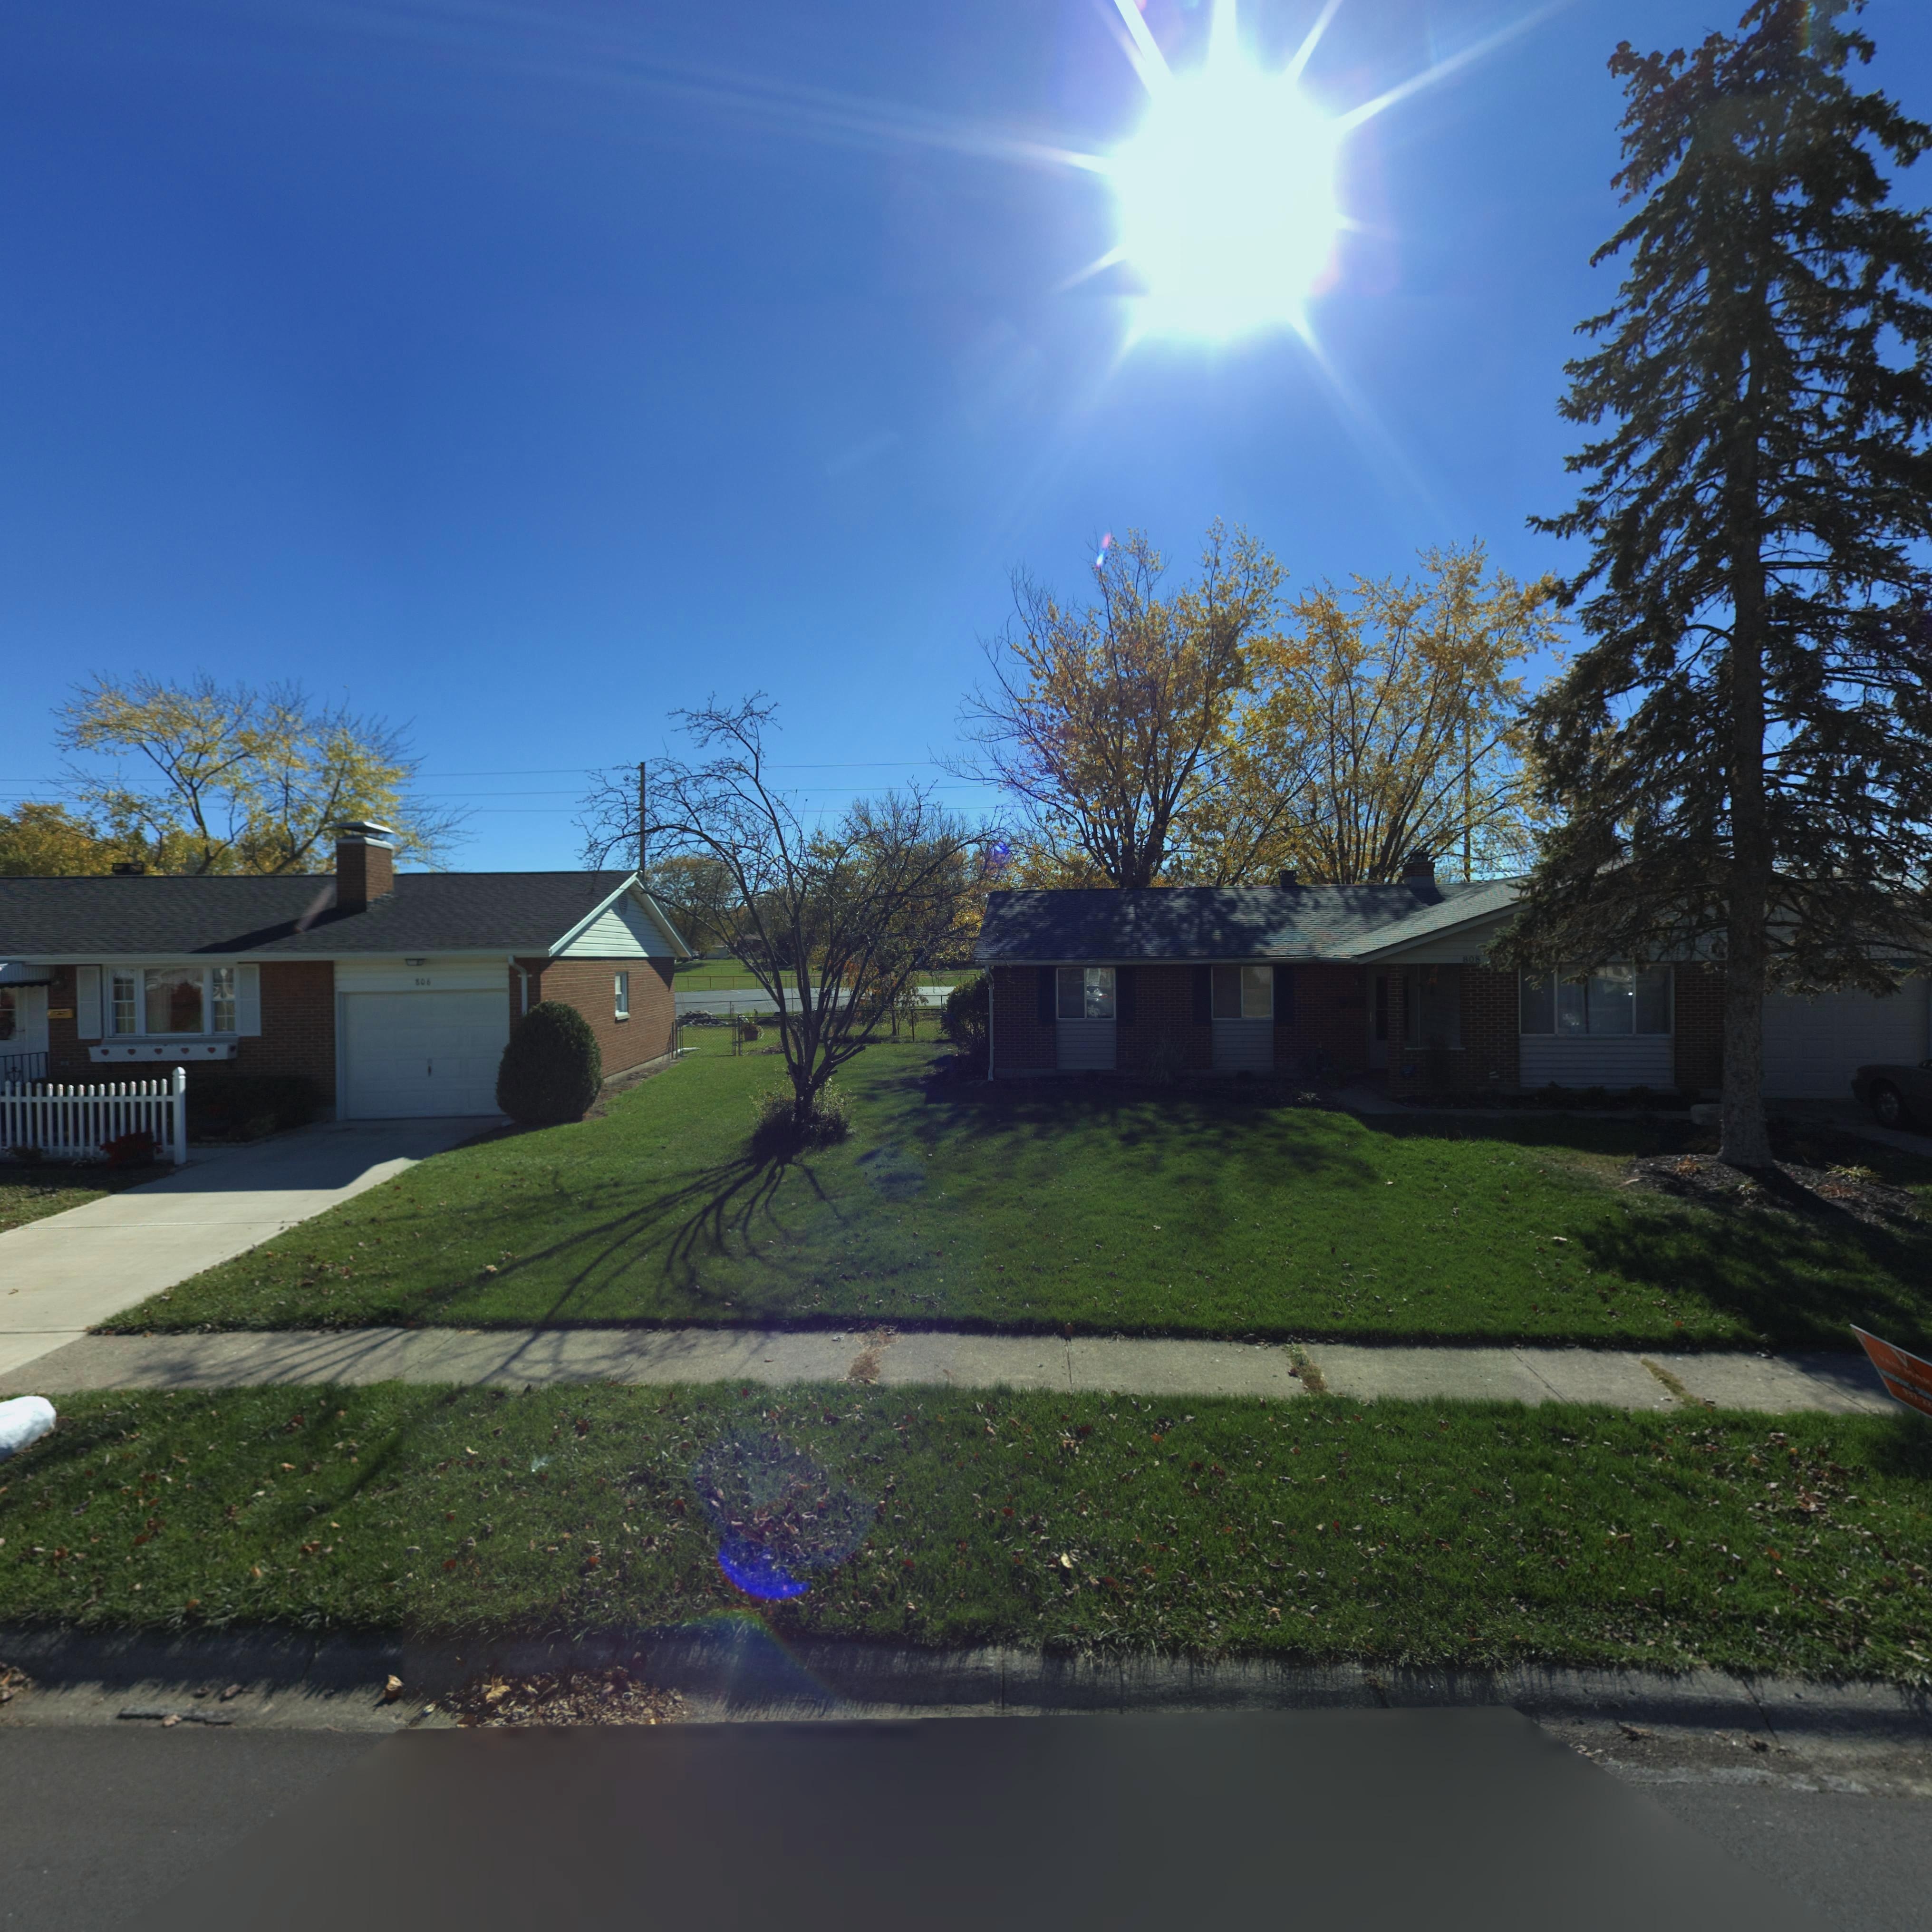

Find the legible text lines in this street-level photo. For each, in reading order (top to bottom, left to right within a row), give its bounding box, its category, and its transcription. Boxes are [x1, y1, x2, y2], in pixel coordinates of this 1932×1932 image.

[1462, 955, 1480, 963] StreetNumber: 808
[415, 977, 431, 985] StreetNumber: 806